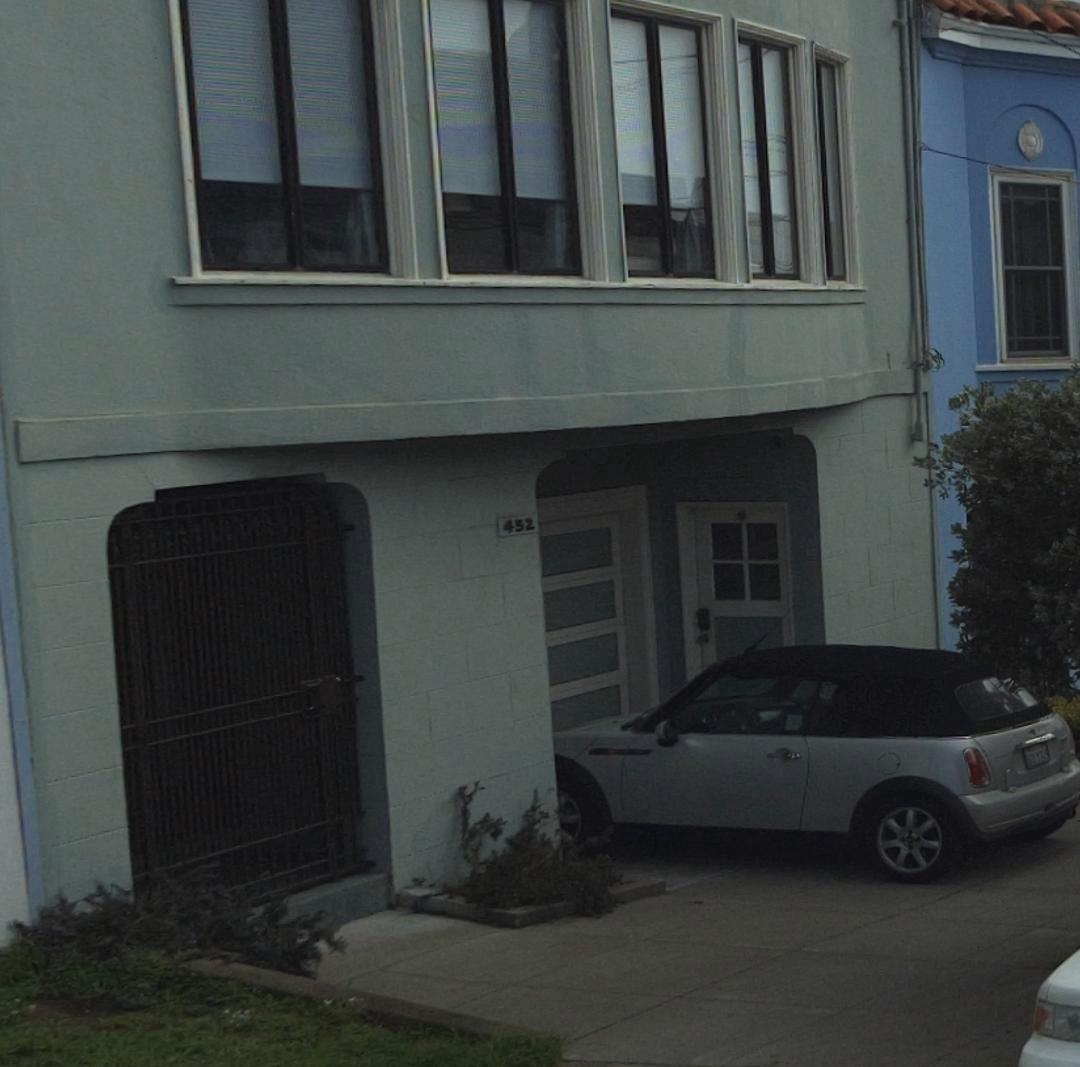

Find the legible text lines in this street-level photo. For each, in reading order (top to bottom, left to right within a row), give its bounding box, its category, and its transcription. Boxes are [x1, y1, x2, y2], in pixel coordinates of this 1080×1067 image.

[503, 516, 536, 535] StreetNumber: 452